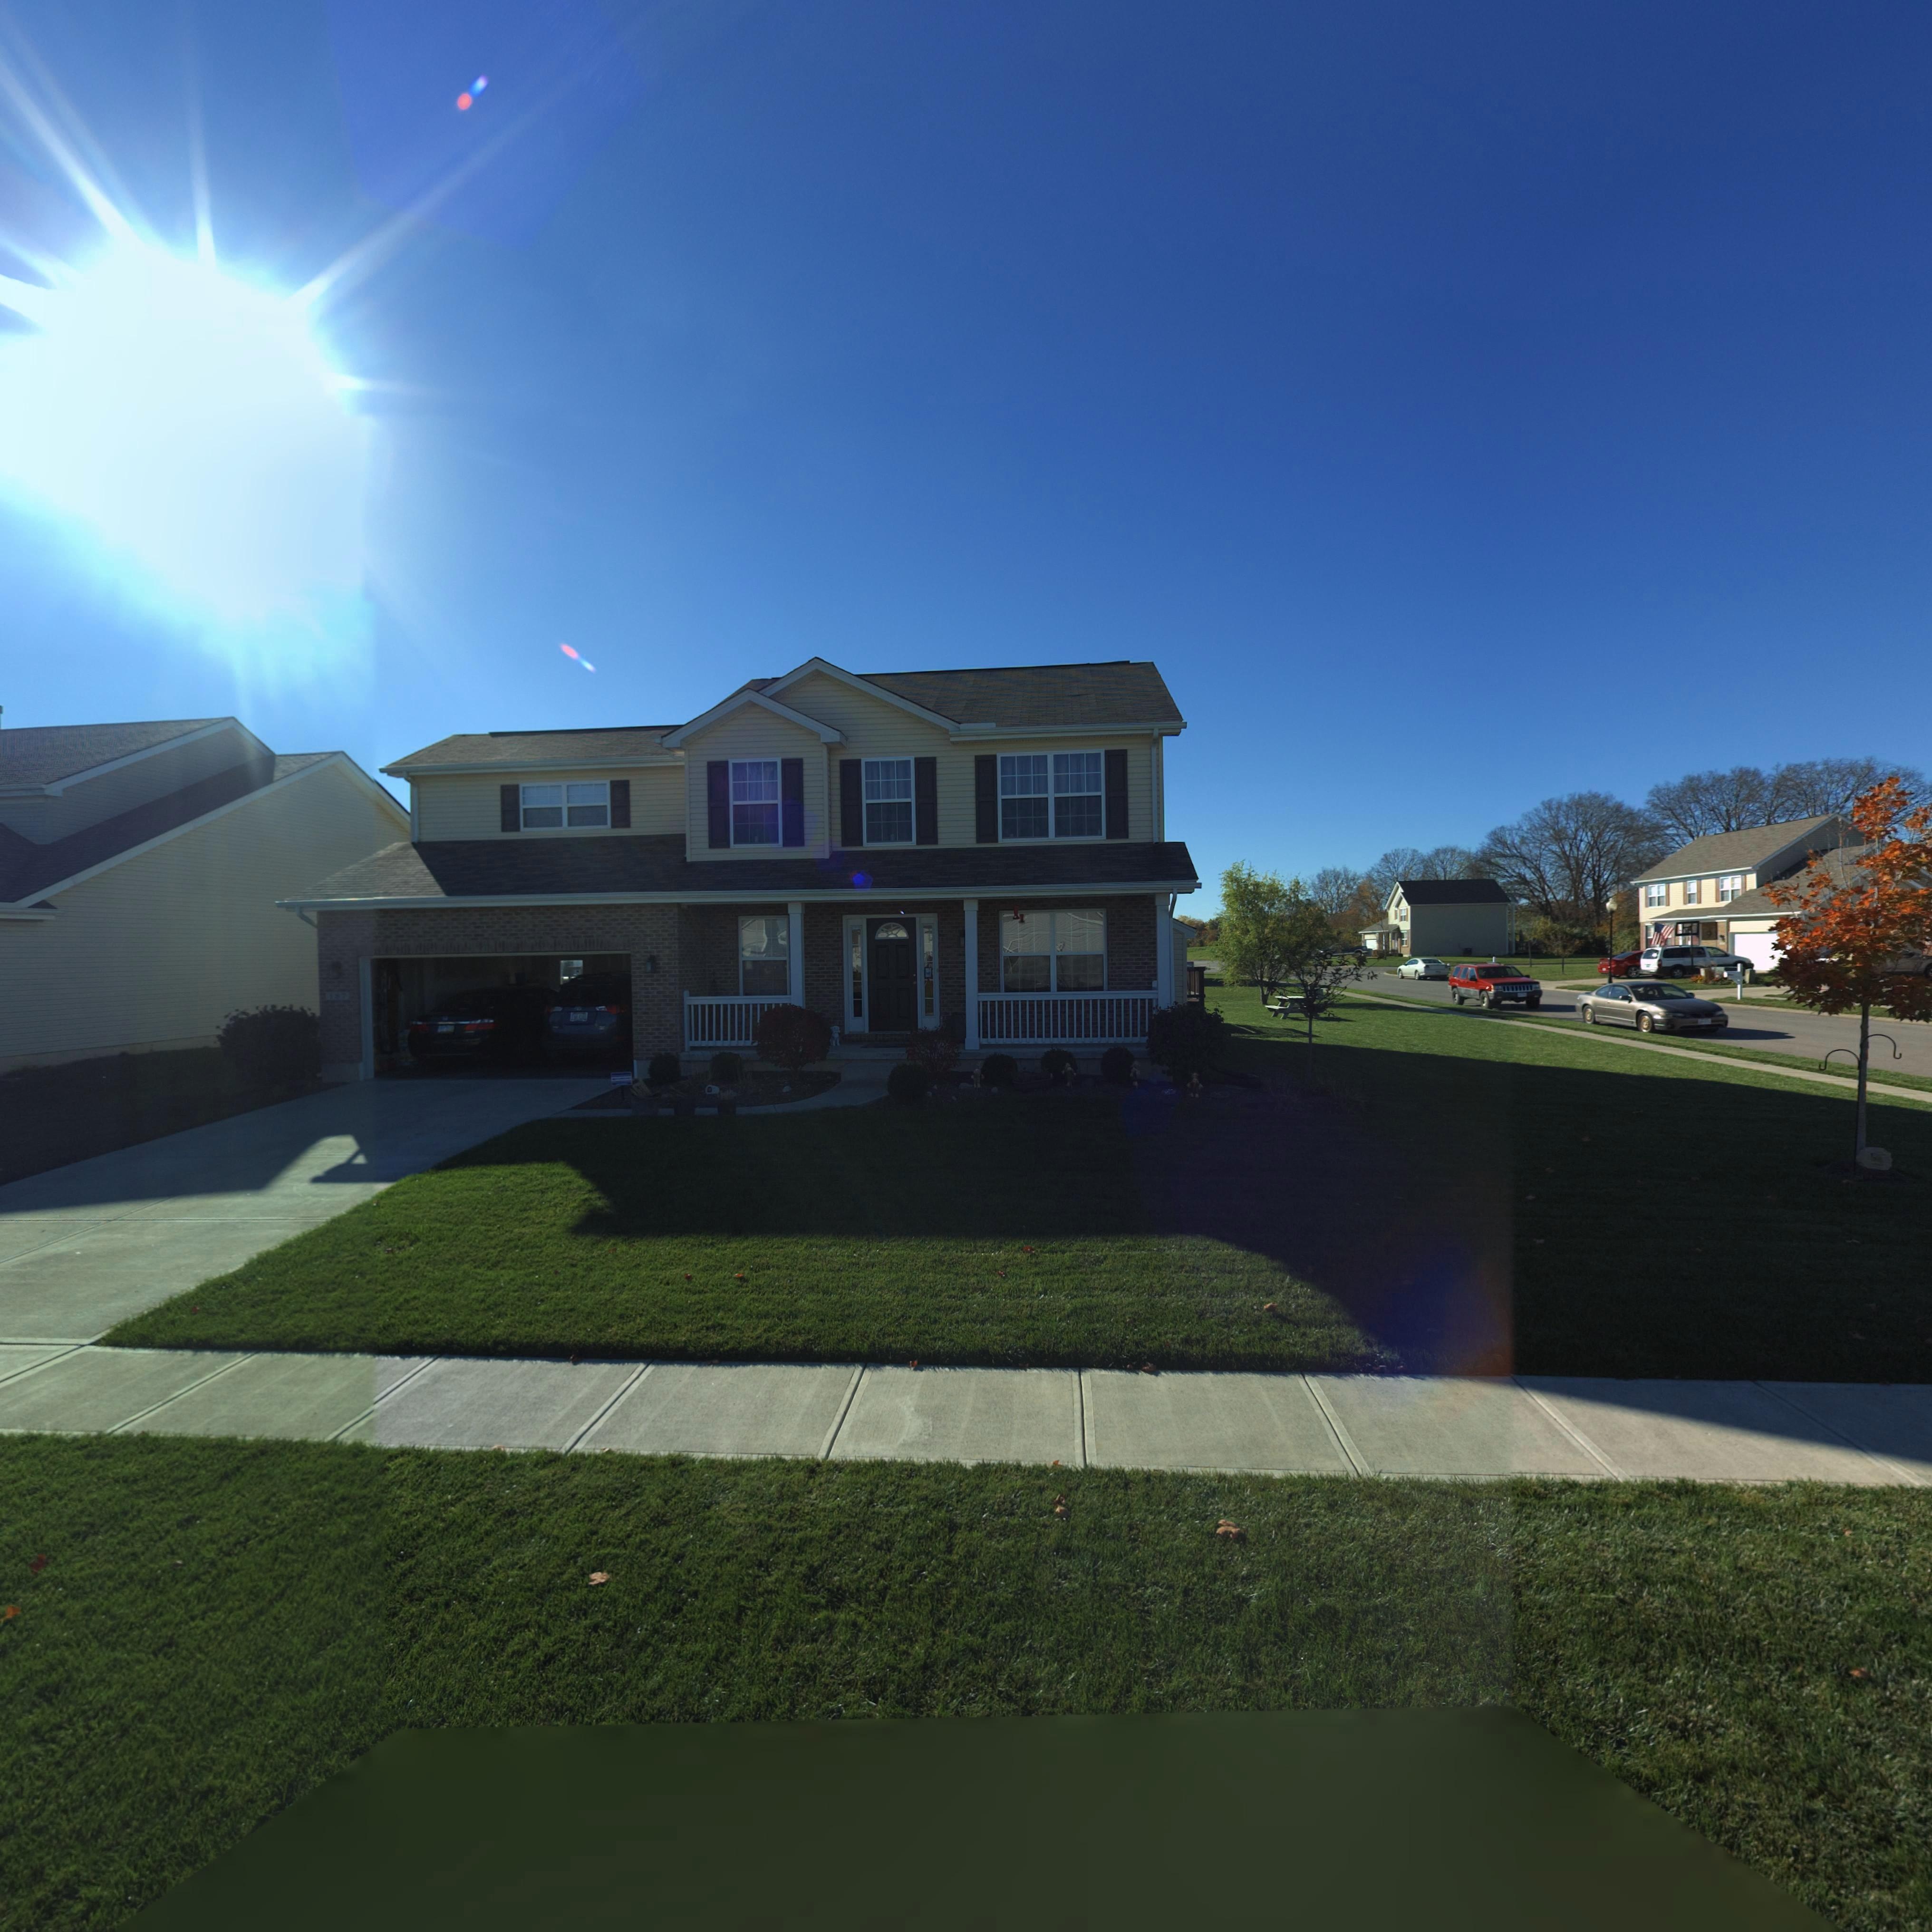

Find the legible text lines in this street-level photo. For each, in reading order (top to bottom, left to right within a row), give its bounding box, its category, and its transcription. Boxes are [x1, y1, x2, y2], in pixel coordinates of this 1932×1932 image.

[328, 993, 346, 1000] StreetNumber: 187